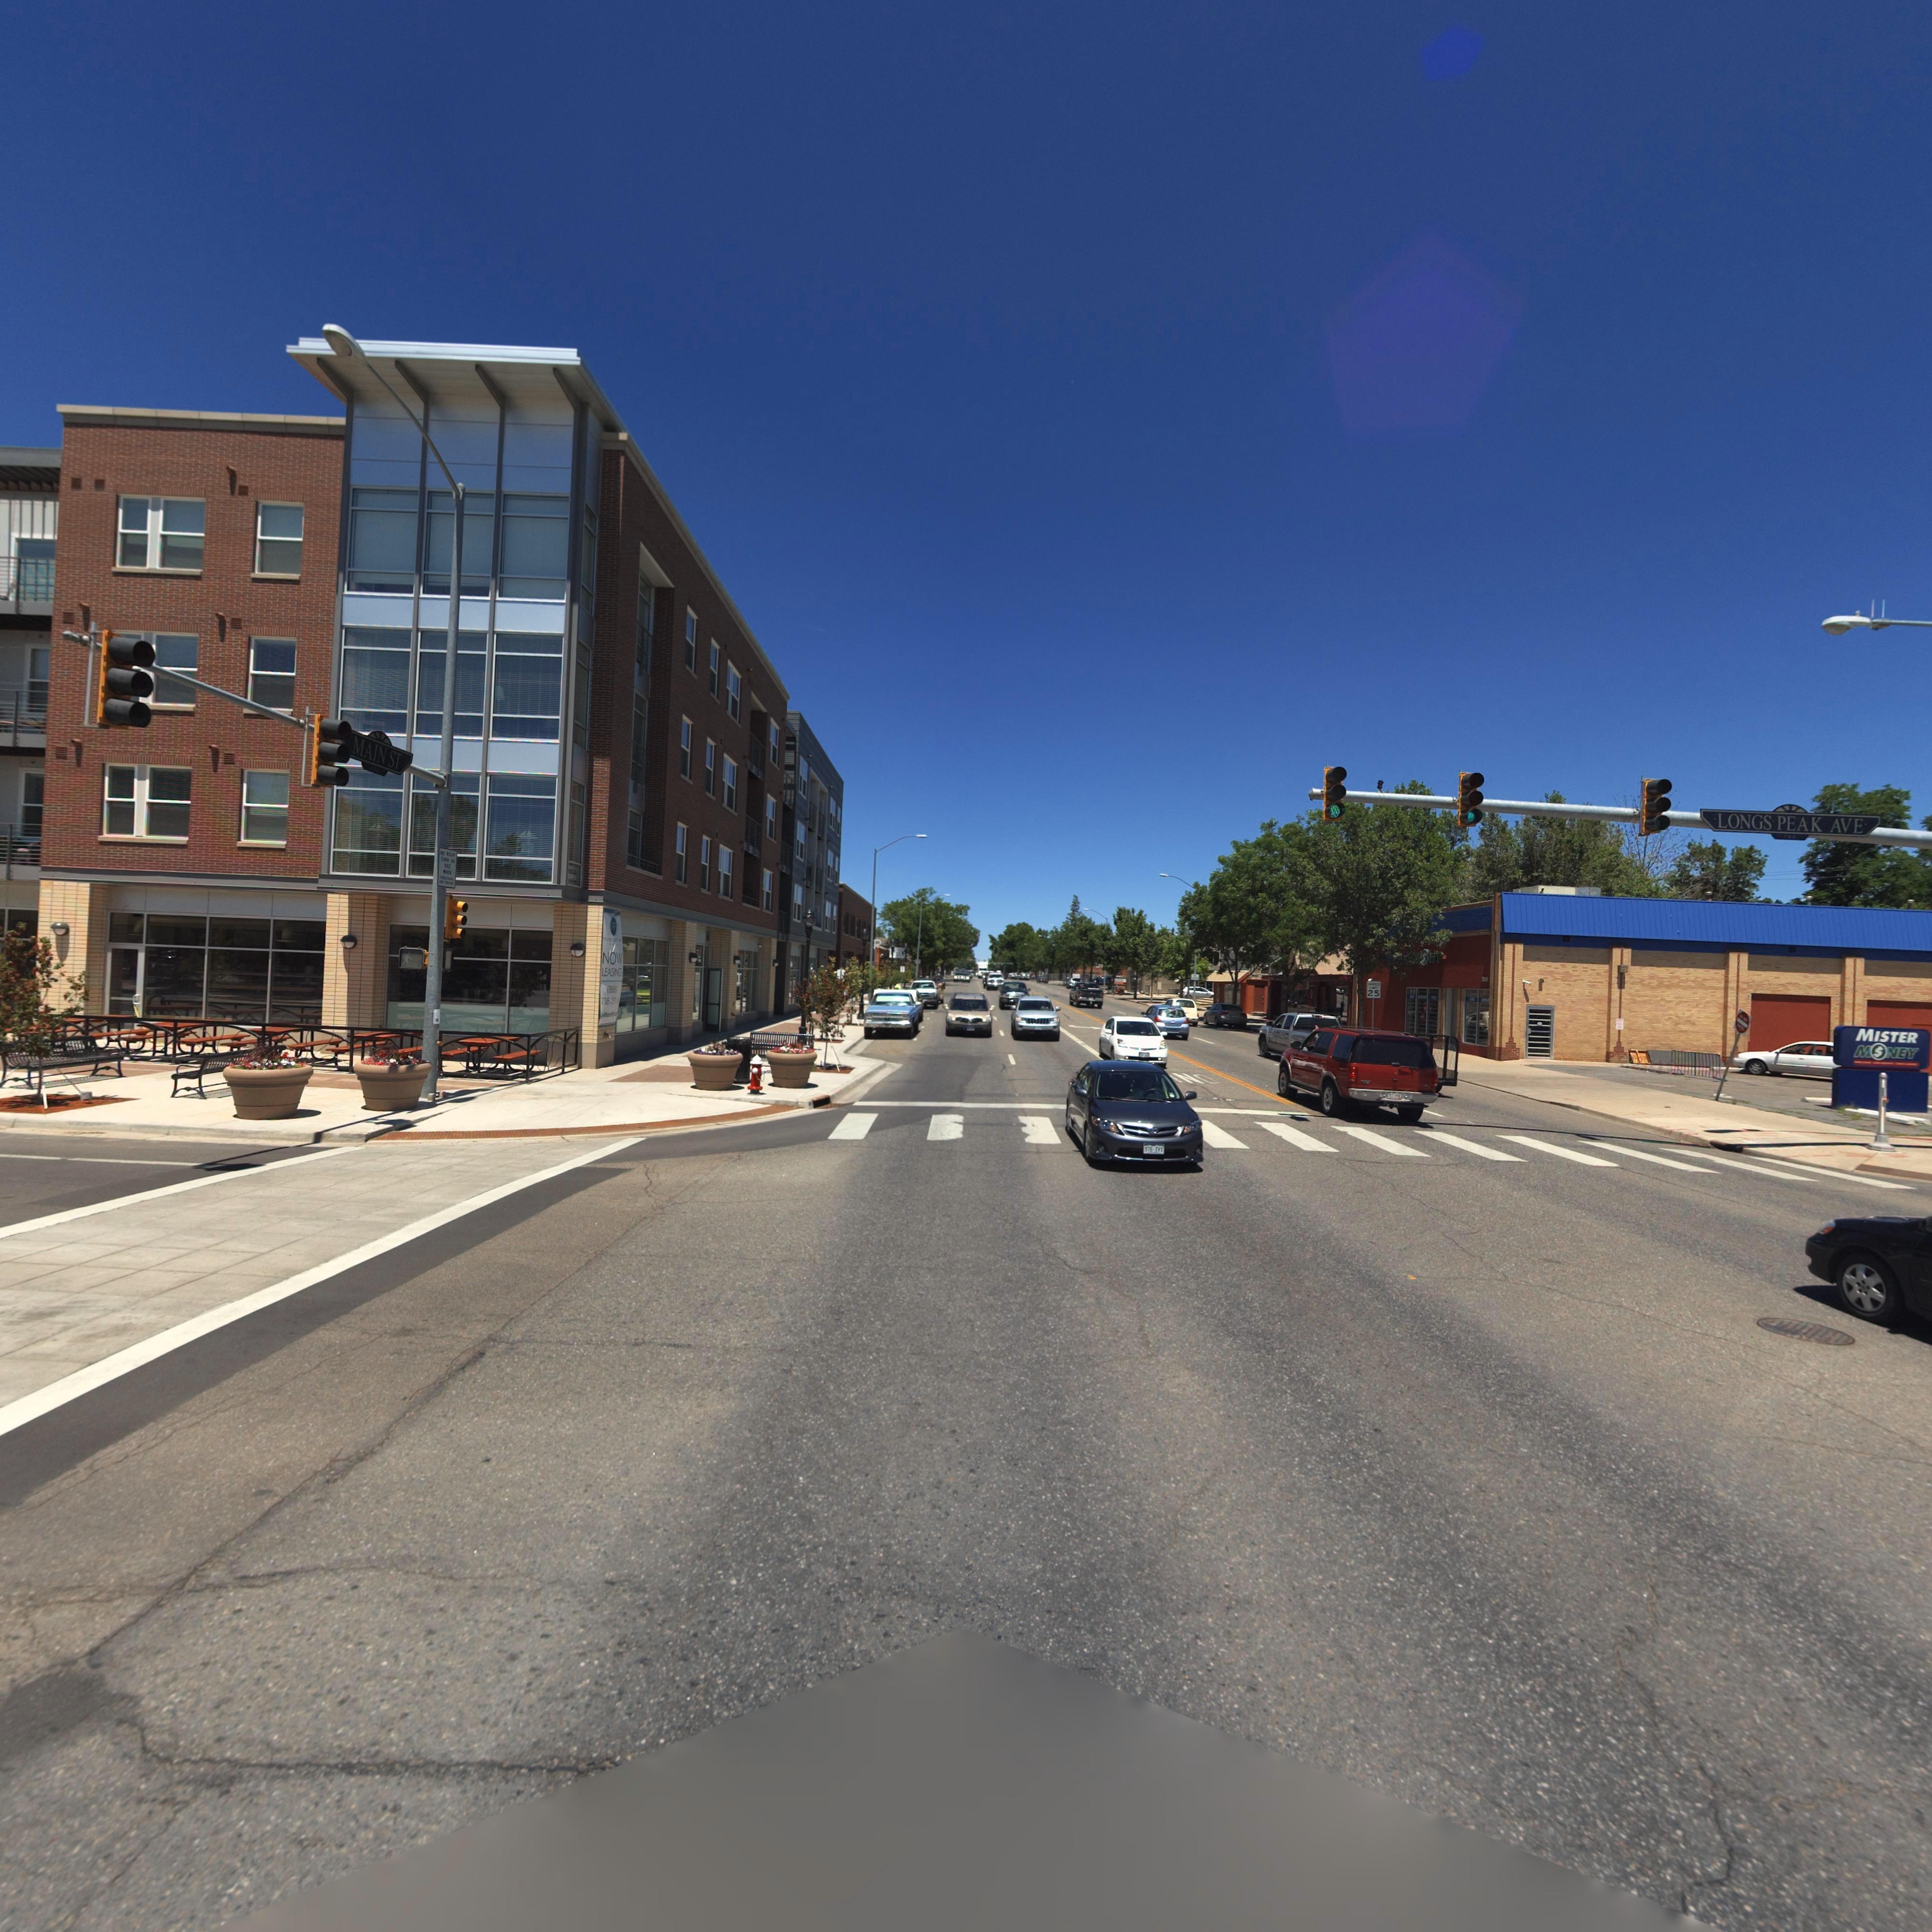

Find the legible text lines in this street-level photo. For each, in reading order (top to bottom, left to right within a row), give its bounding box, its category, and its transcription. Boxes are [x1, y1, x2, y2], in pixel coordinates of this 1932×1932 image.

[352, 734, 402, 770] StreetName: MAIN ST
[1717, 812, 1864, 833] StreetName: LONGS PEAK AVE
[1784, 834, 1795, 839] StreetNumber: 700
[1386, 948, 1444, 965] BusinessName: M***** **NEY
[1481, 976, 1488, 981] StreetNumber: 704
[1854, 1028, 1918, 1044] BusinessName: MISTER
[1853, 1042, 1919, 1060] BusinessName: M*NEY